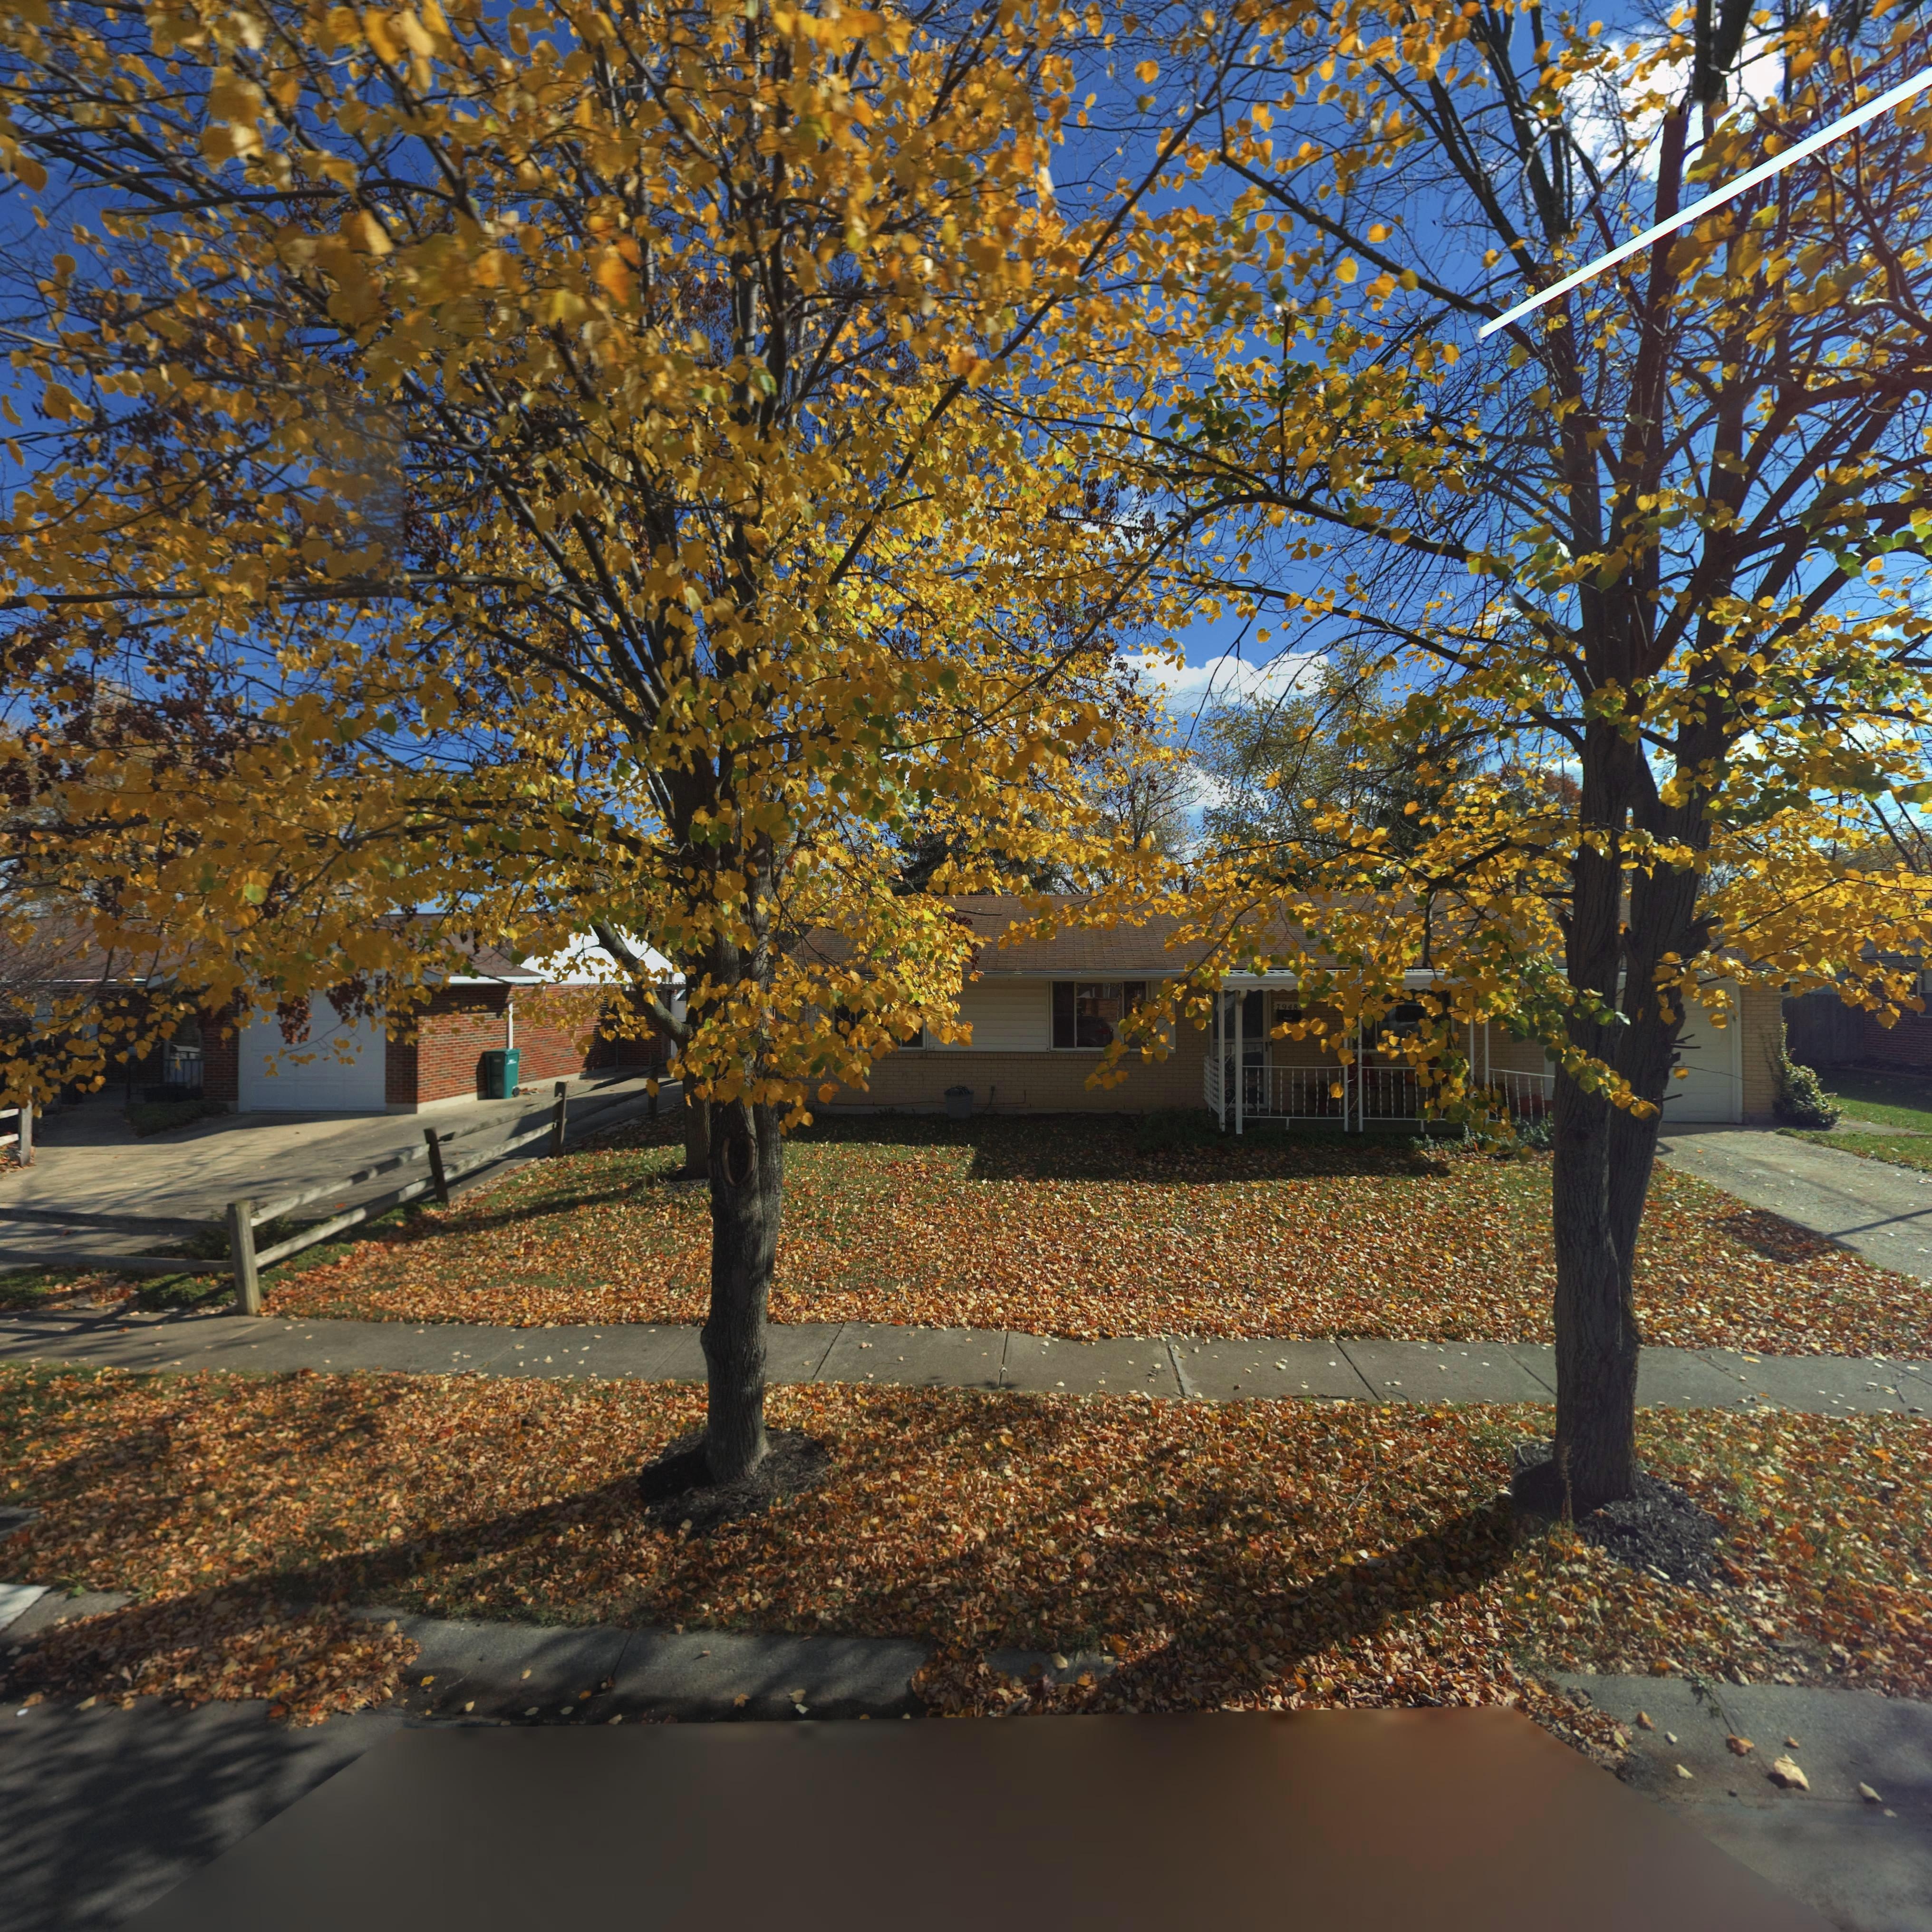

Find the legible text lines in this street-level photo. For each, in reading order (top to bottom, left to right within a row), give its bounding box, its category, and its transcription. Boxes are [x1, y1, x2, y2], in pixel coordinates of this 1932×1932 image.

[1275, 1003, 1299, 1011] StreetNumber: 7948